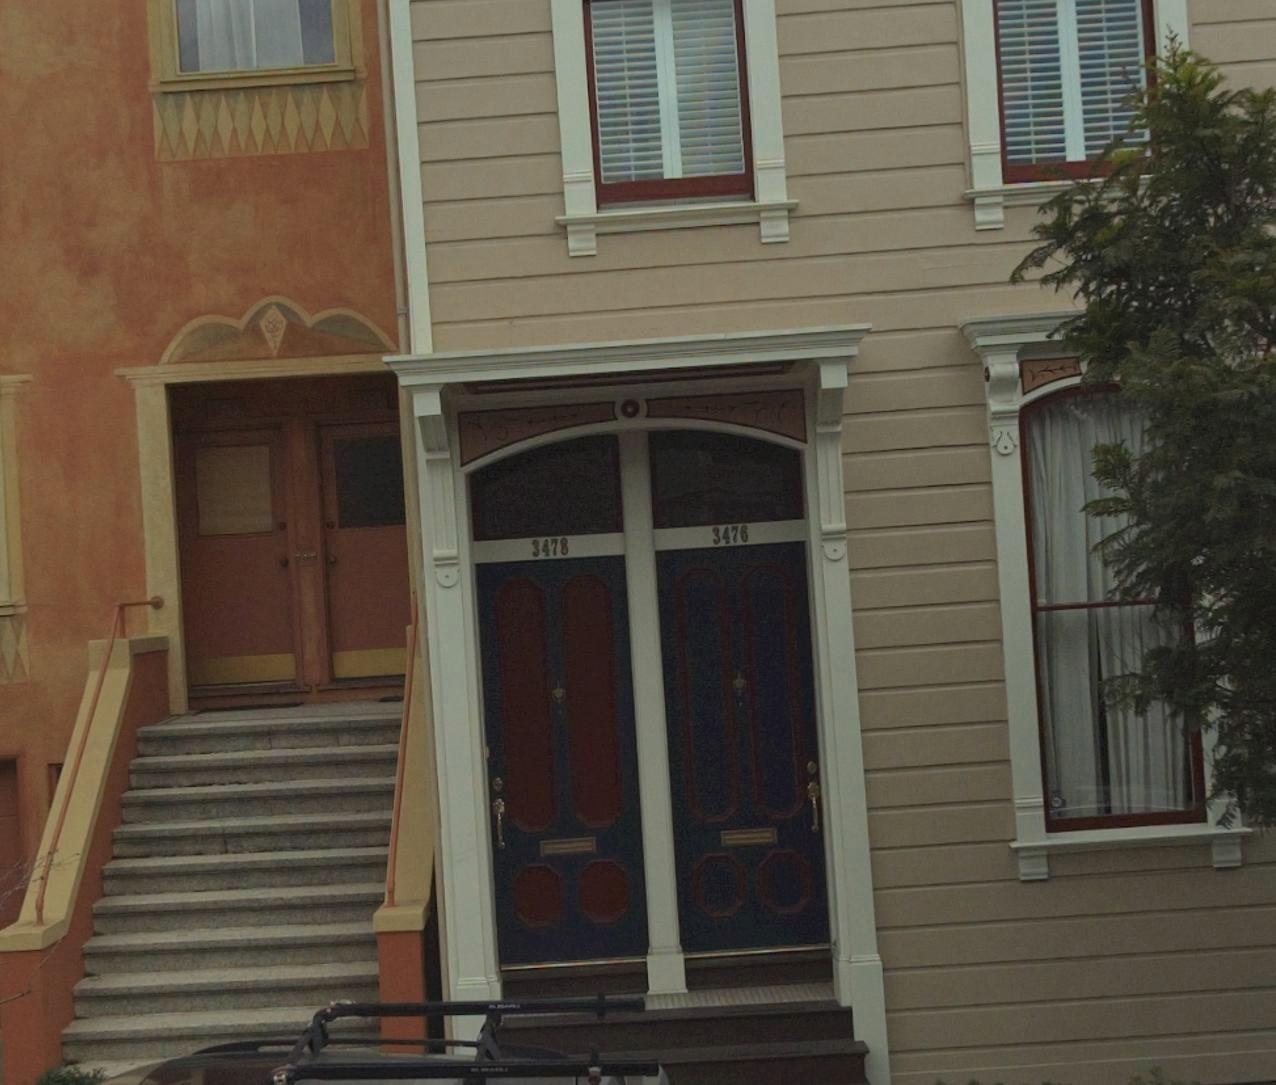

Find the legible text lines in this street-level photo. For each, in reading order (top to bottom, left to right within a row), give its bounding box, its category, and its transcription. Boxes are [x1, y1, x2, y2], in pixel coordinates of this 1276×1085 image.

[710, 523, 751, 546] StreetNumber: 3476
[529, 536, 571, 558] StreetNumber: 3478